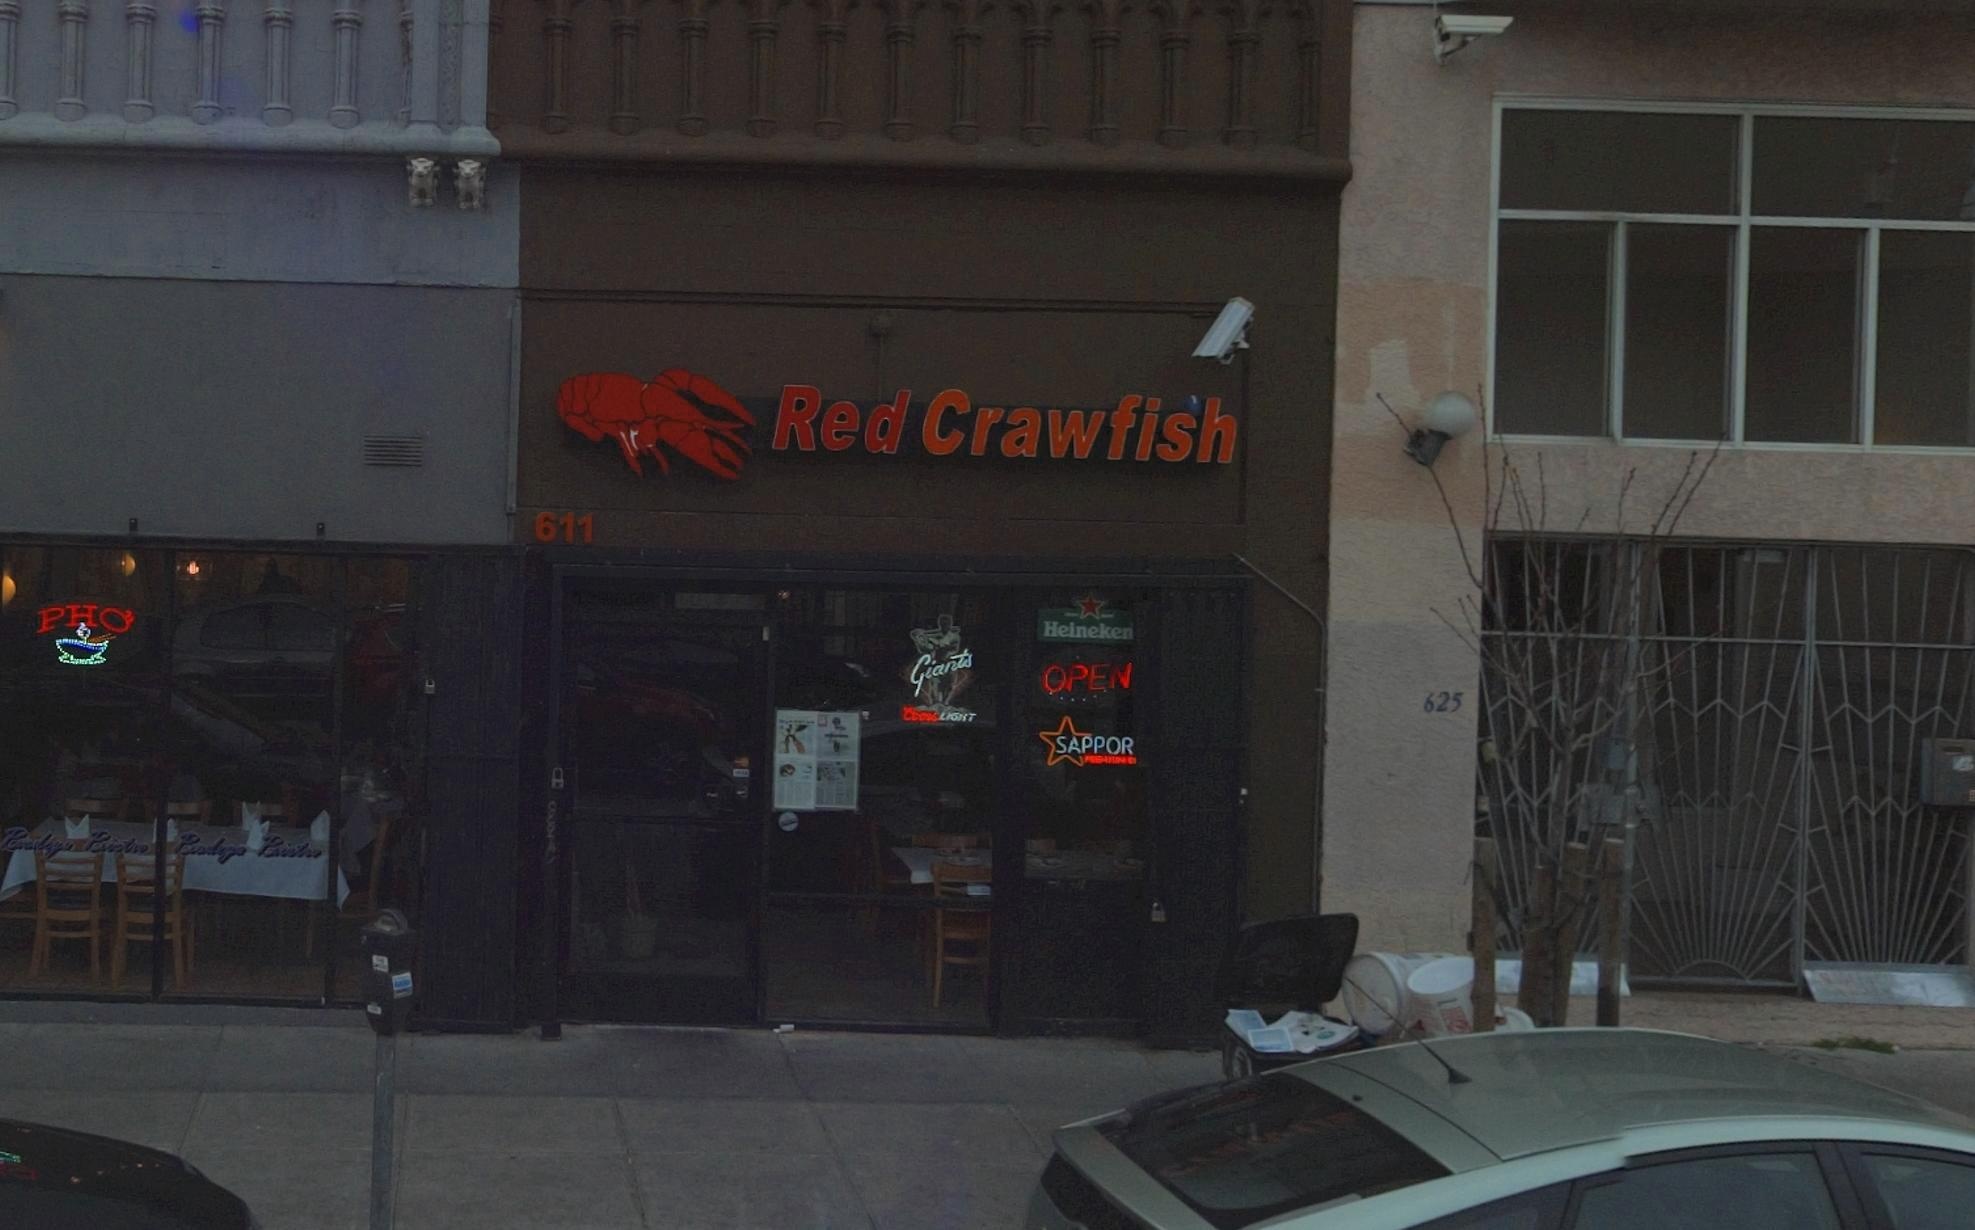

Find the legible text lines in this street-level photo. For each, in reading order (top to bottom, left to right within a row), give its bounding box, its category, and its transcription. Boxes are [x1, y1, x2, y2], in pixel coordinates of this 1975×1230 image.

[771, 383, 1238, 466] BusinessName: Red Crawfish
[534, 510, 594, 545] StreetNumber: 611
[35, 603, 132, 635] None: PHO
[1042, 618, 1135, 641] None: Heineken
[909, 647, 973, 700] None: Giants
[1041, 661, 1134, 695] None: OPEN
[901, 706, 978, 723] None: Coors LIGHT
[1421, 691, 1465, 713] StreetNumber: 625
[1054, 734, 1135, 755] None: SAPPOR